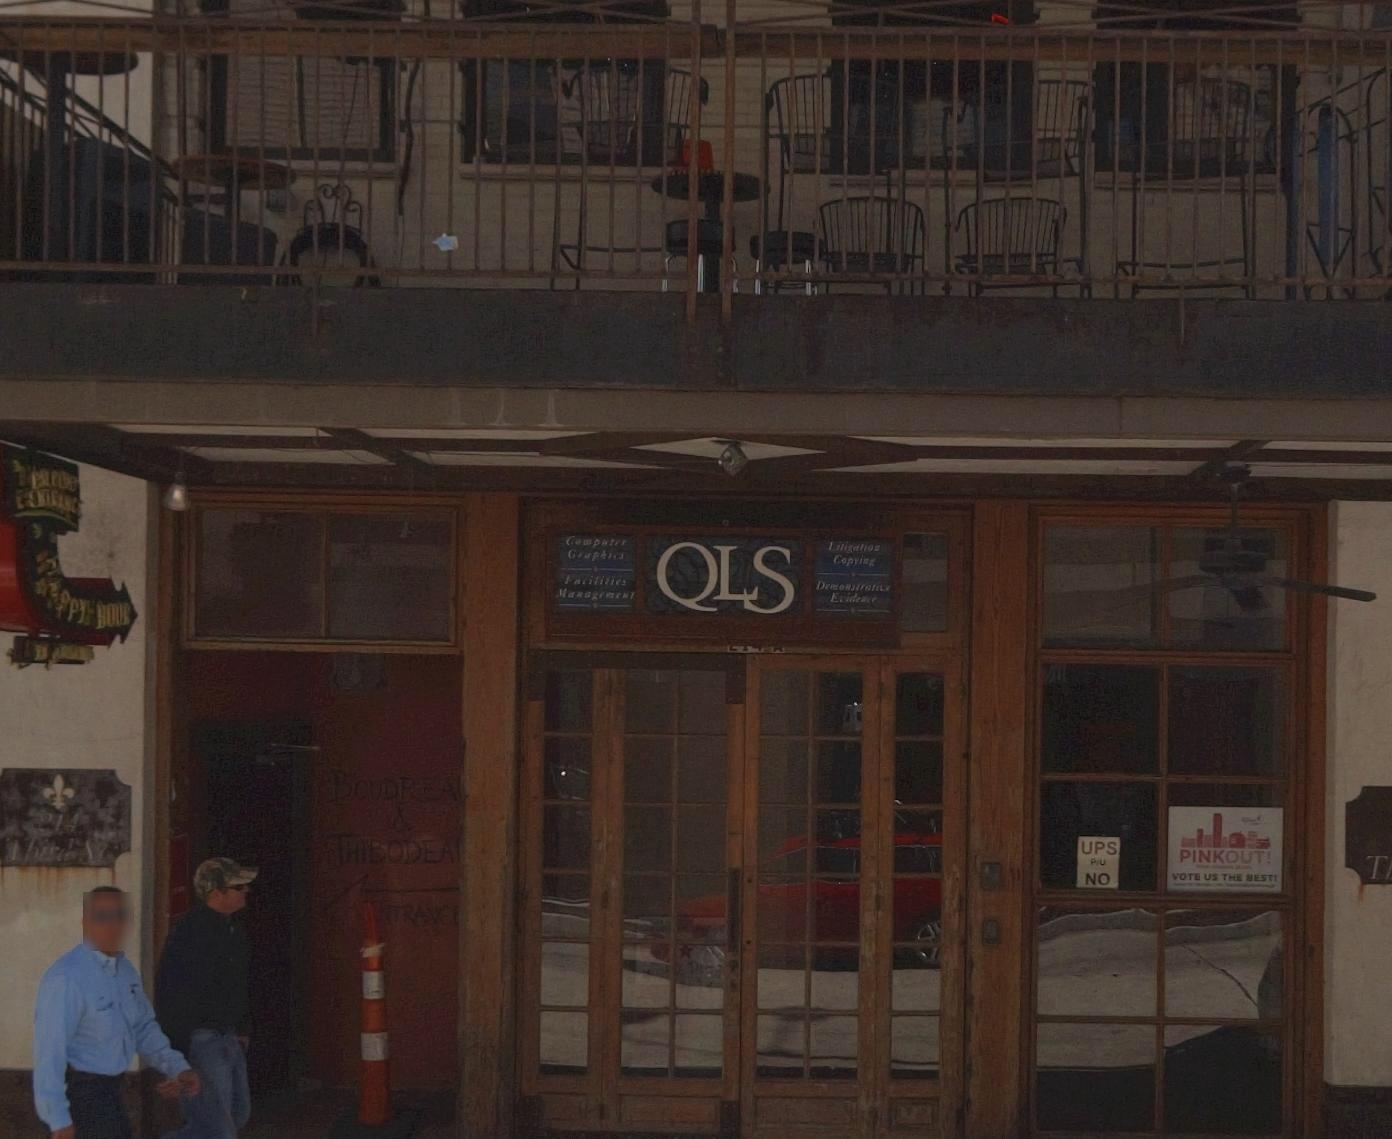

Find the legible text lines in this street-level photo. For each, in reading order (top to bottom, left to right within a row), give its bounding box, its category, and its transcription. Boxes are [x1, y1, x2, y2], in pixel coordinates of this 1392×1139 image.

[565, 547, 627, 564] None: Graphics
[563, 533, 632, 550] None: Comp****
[830, 551, 880, 570] None: Copying
[843, 539, 884, 556] None: gation
[551, 584, 639, 604] None: Manag*****
[571, 571, 629, 588] None: a*ili**es
[651, 536, 801, 618] None: QLS
[812, 577, 828, 594] None: D
[827, 590, 842, 605] None: E
[328, 766, 462, 808] None: BOUDREA
[36, 809, 83, 839] StreetNumber: *14
[322, 829, 460, 869] None: THIBODEA
[1079, 838, 1120, 858] None: UPS
[1177, 846, 1274, 868] None: PINKOUT!
[1083, 870, 1113, 888] None: NO
[1168, 871, 1280, 884] None: VOTE US THE BEST*
[1363, 853, 1391, 882] StreetName: t
[386, 902, 443, 926] None: TRAN